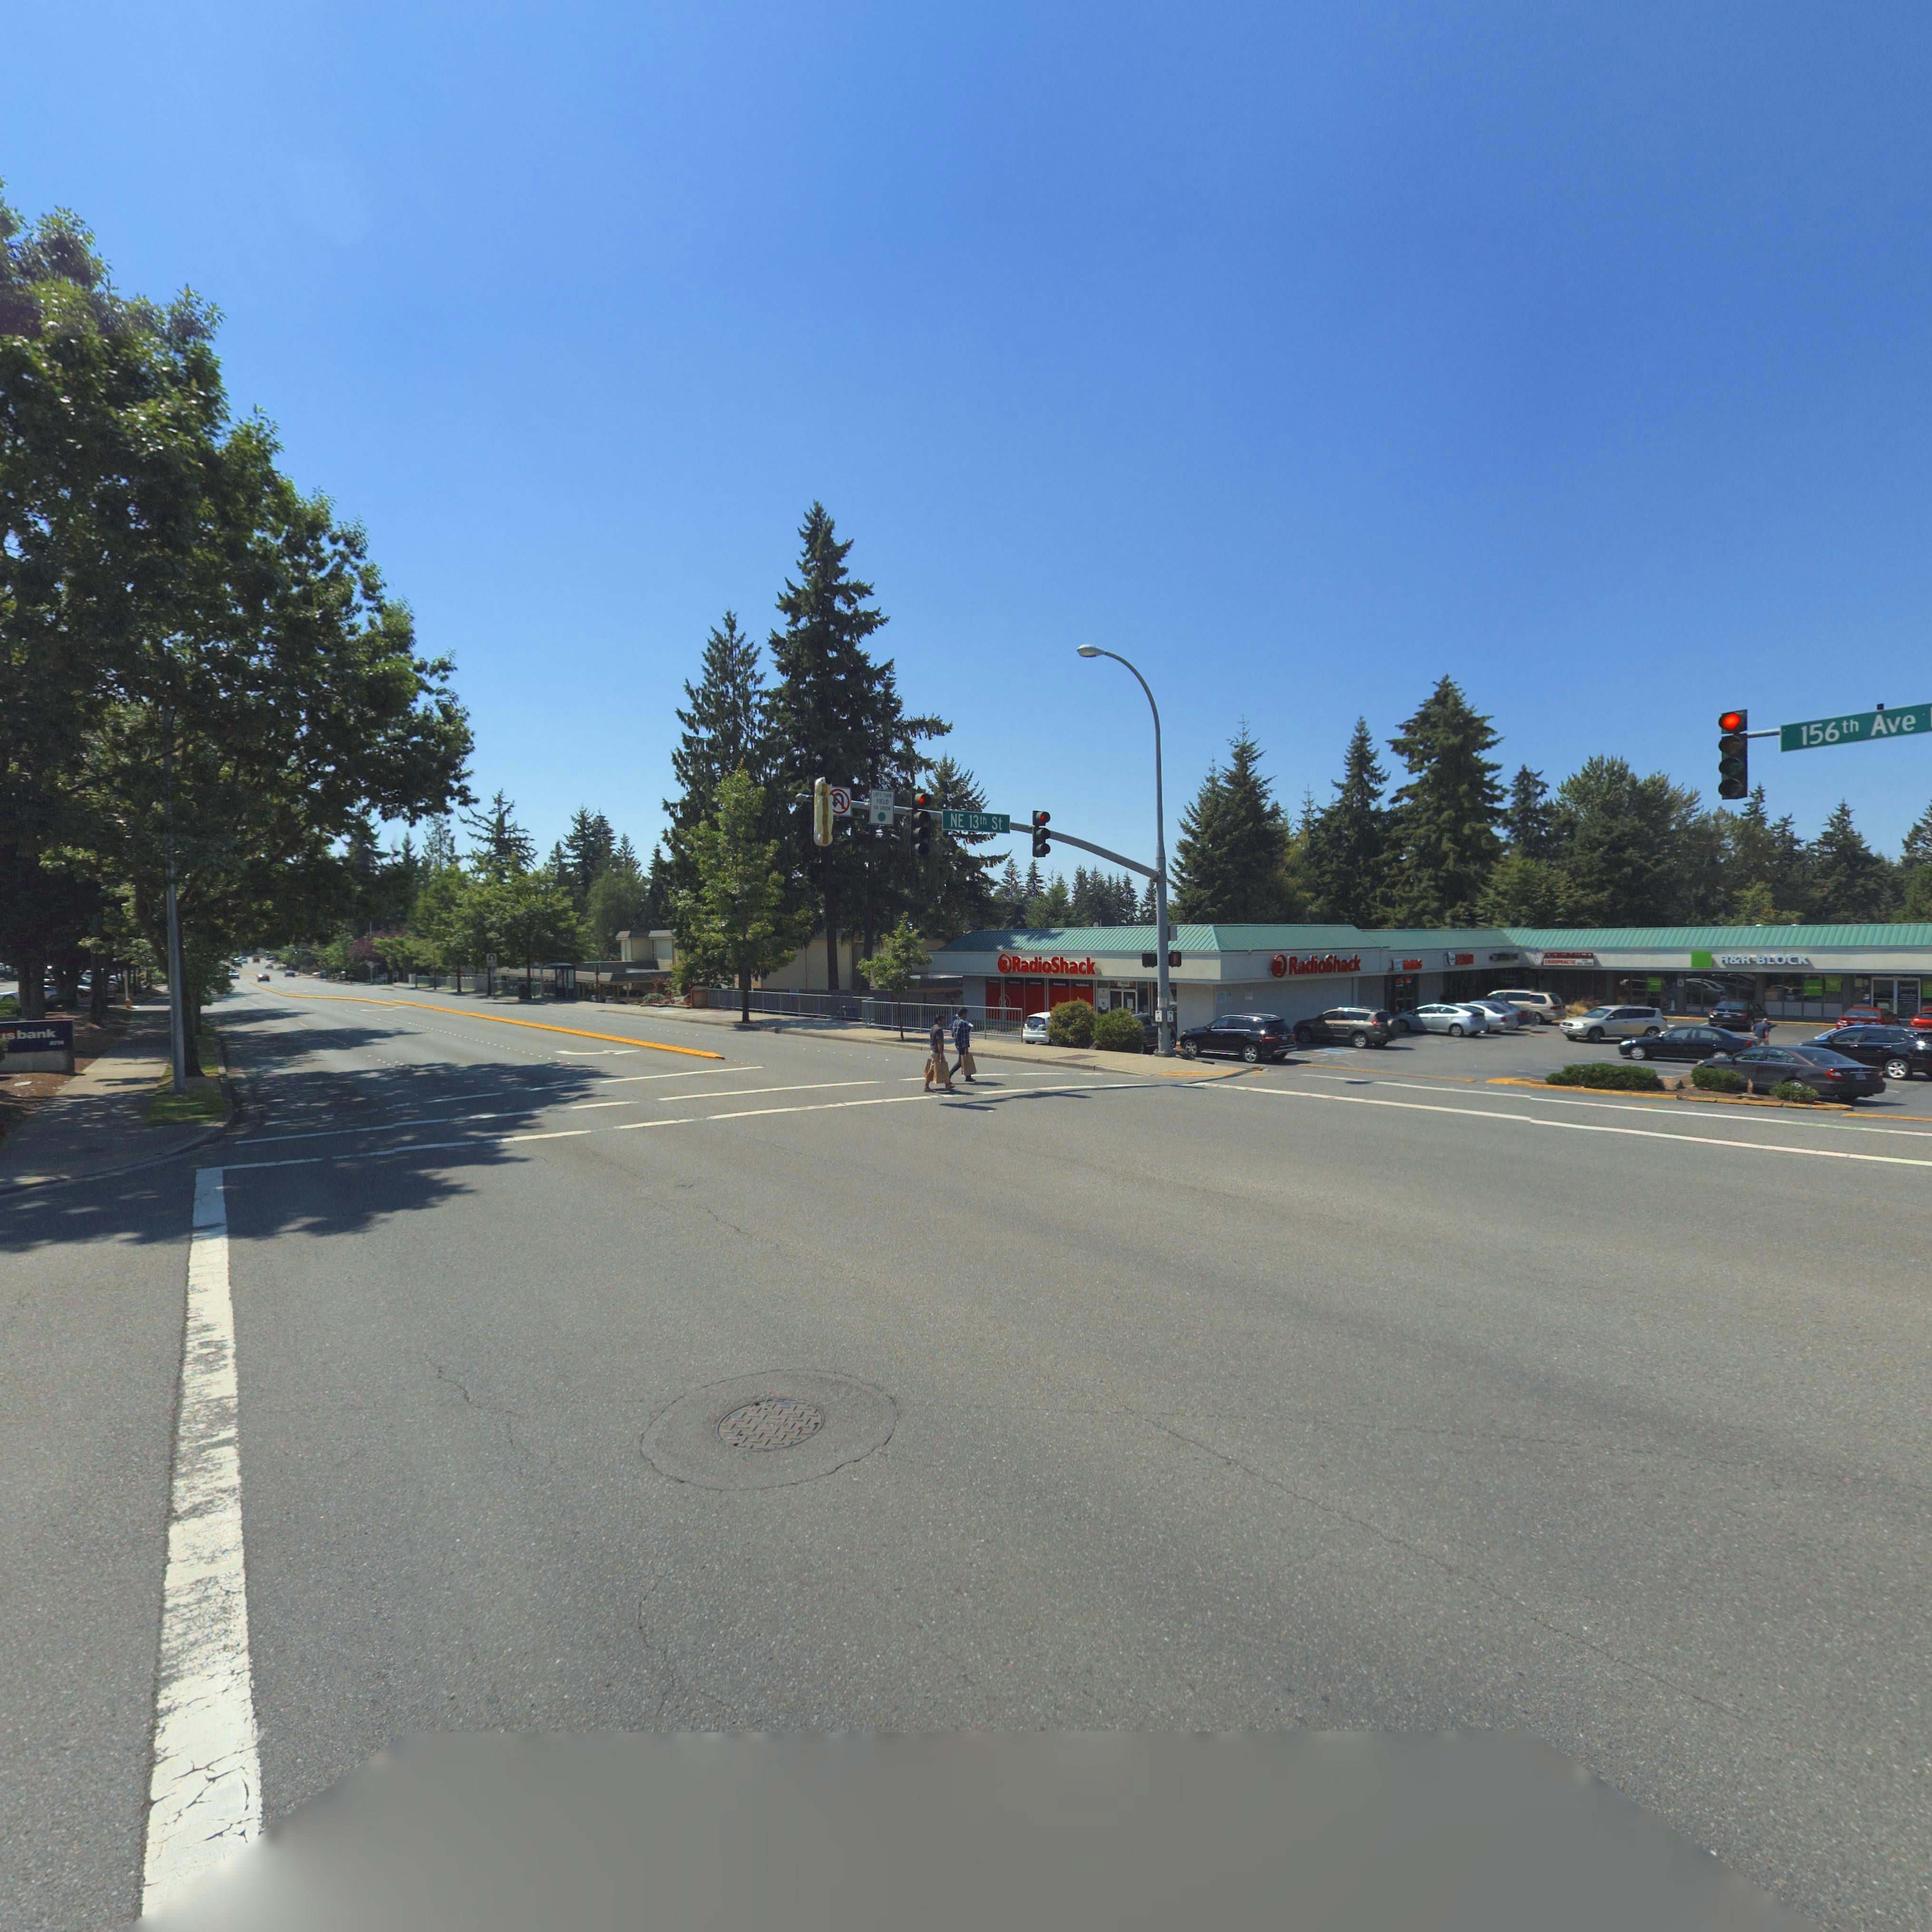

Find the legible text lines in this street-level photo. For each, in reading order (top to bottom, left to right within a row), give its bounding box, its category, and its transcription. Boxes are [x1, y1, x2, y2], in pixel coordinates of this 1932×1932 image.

[1801, 712, 1916, 748] StreetName: 156th Ave
[950, 812, 1003, 831] StreetName: NE 13th St
[1011, 956, 1097, 975] BusinessName: RadioShack
[1288, 953, 1361, 975] BusinessName: RadioShack
[1719, 953, 1810, 965] BusinessName: H*R BLOCK
[6, 1027, 57, 1040] BusinessName: sbank